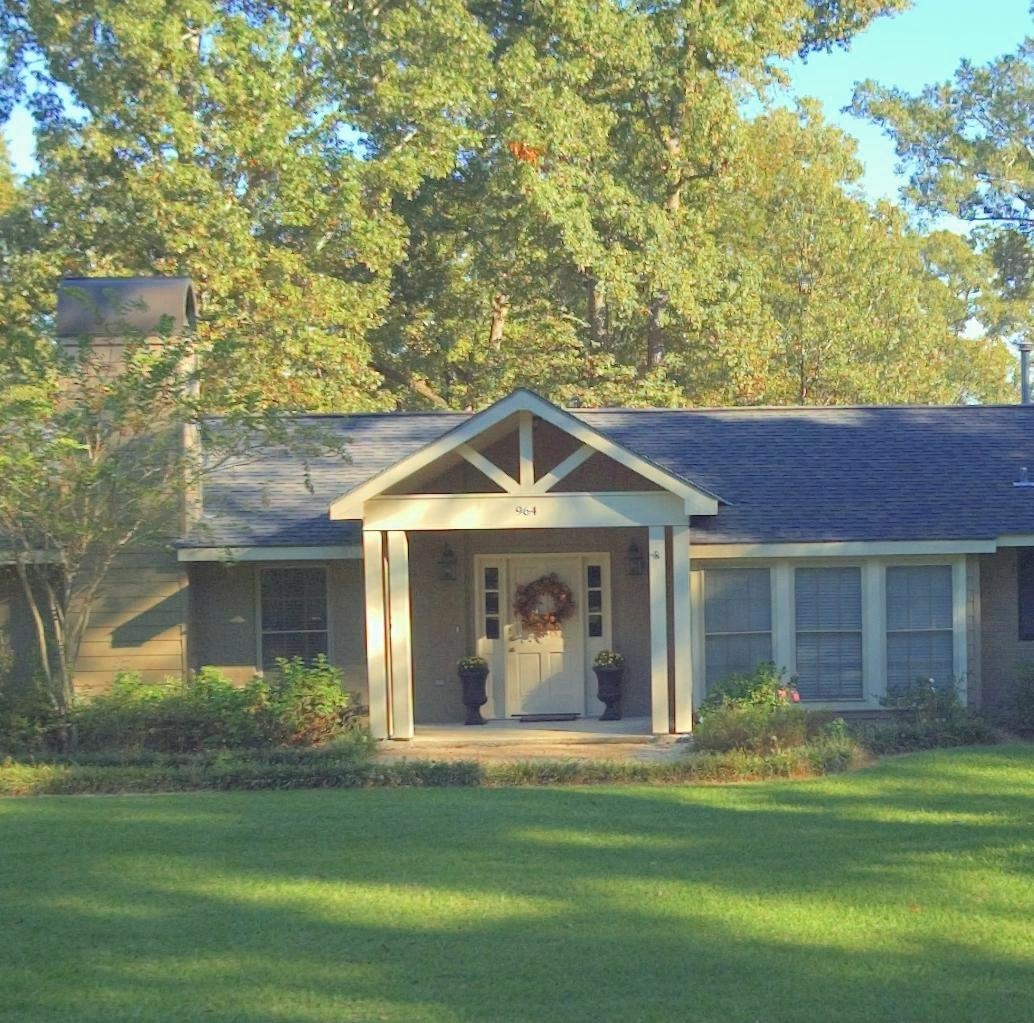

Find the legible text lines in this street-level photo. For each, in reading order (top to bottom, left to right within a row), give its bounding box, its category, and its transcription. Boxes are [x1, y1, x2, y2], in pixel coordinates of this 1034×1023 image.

[513, 504, 539, 518] StreetNumber: 964